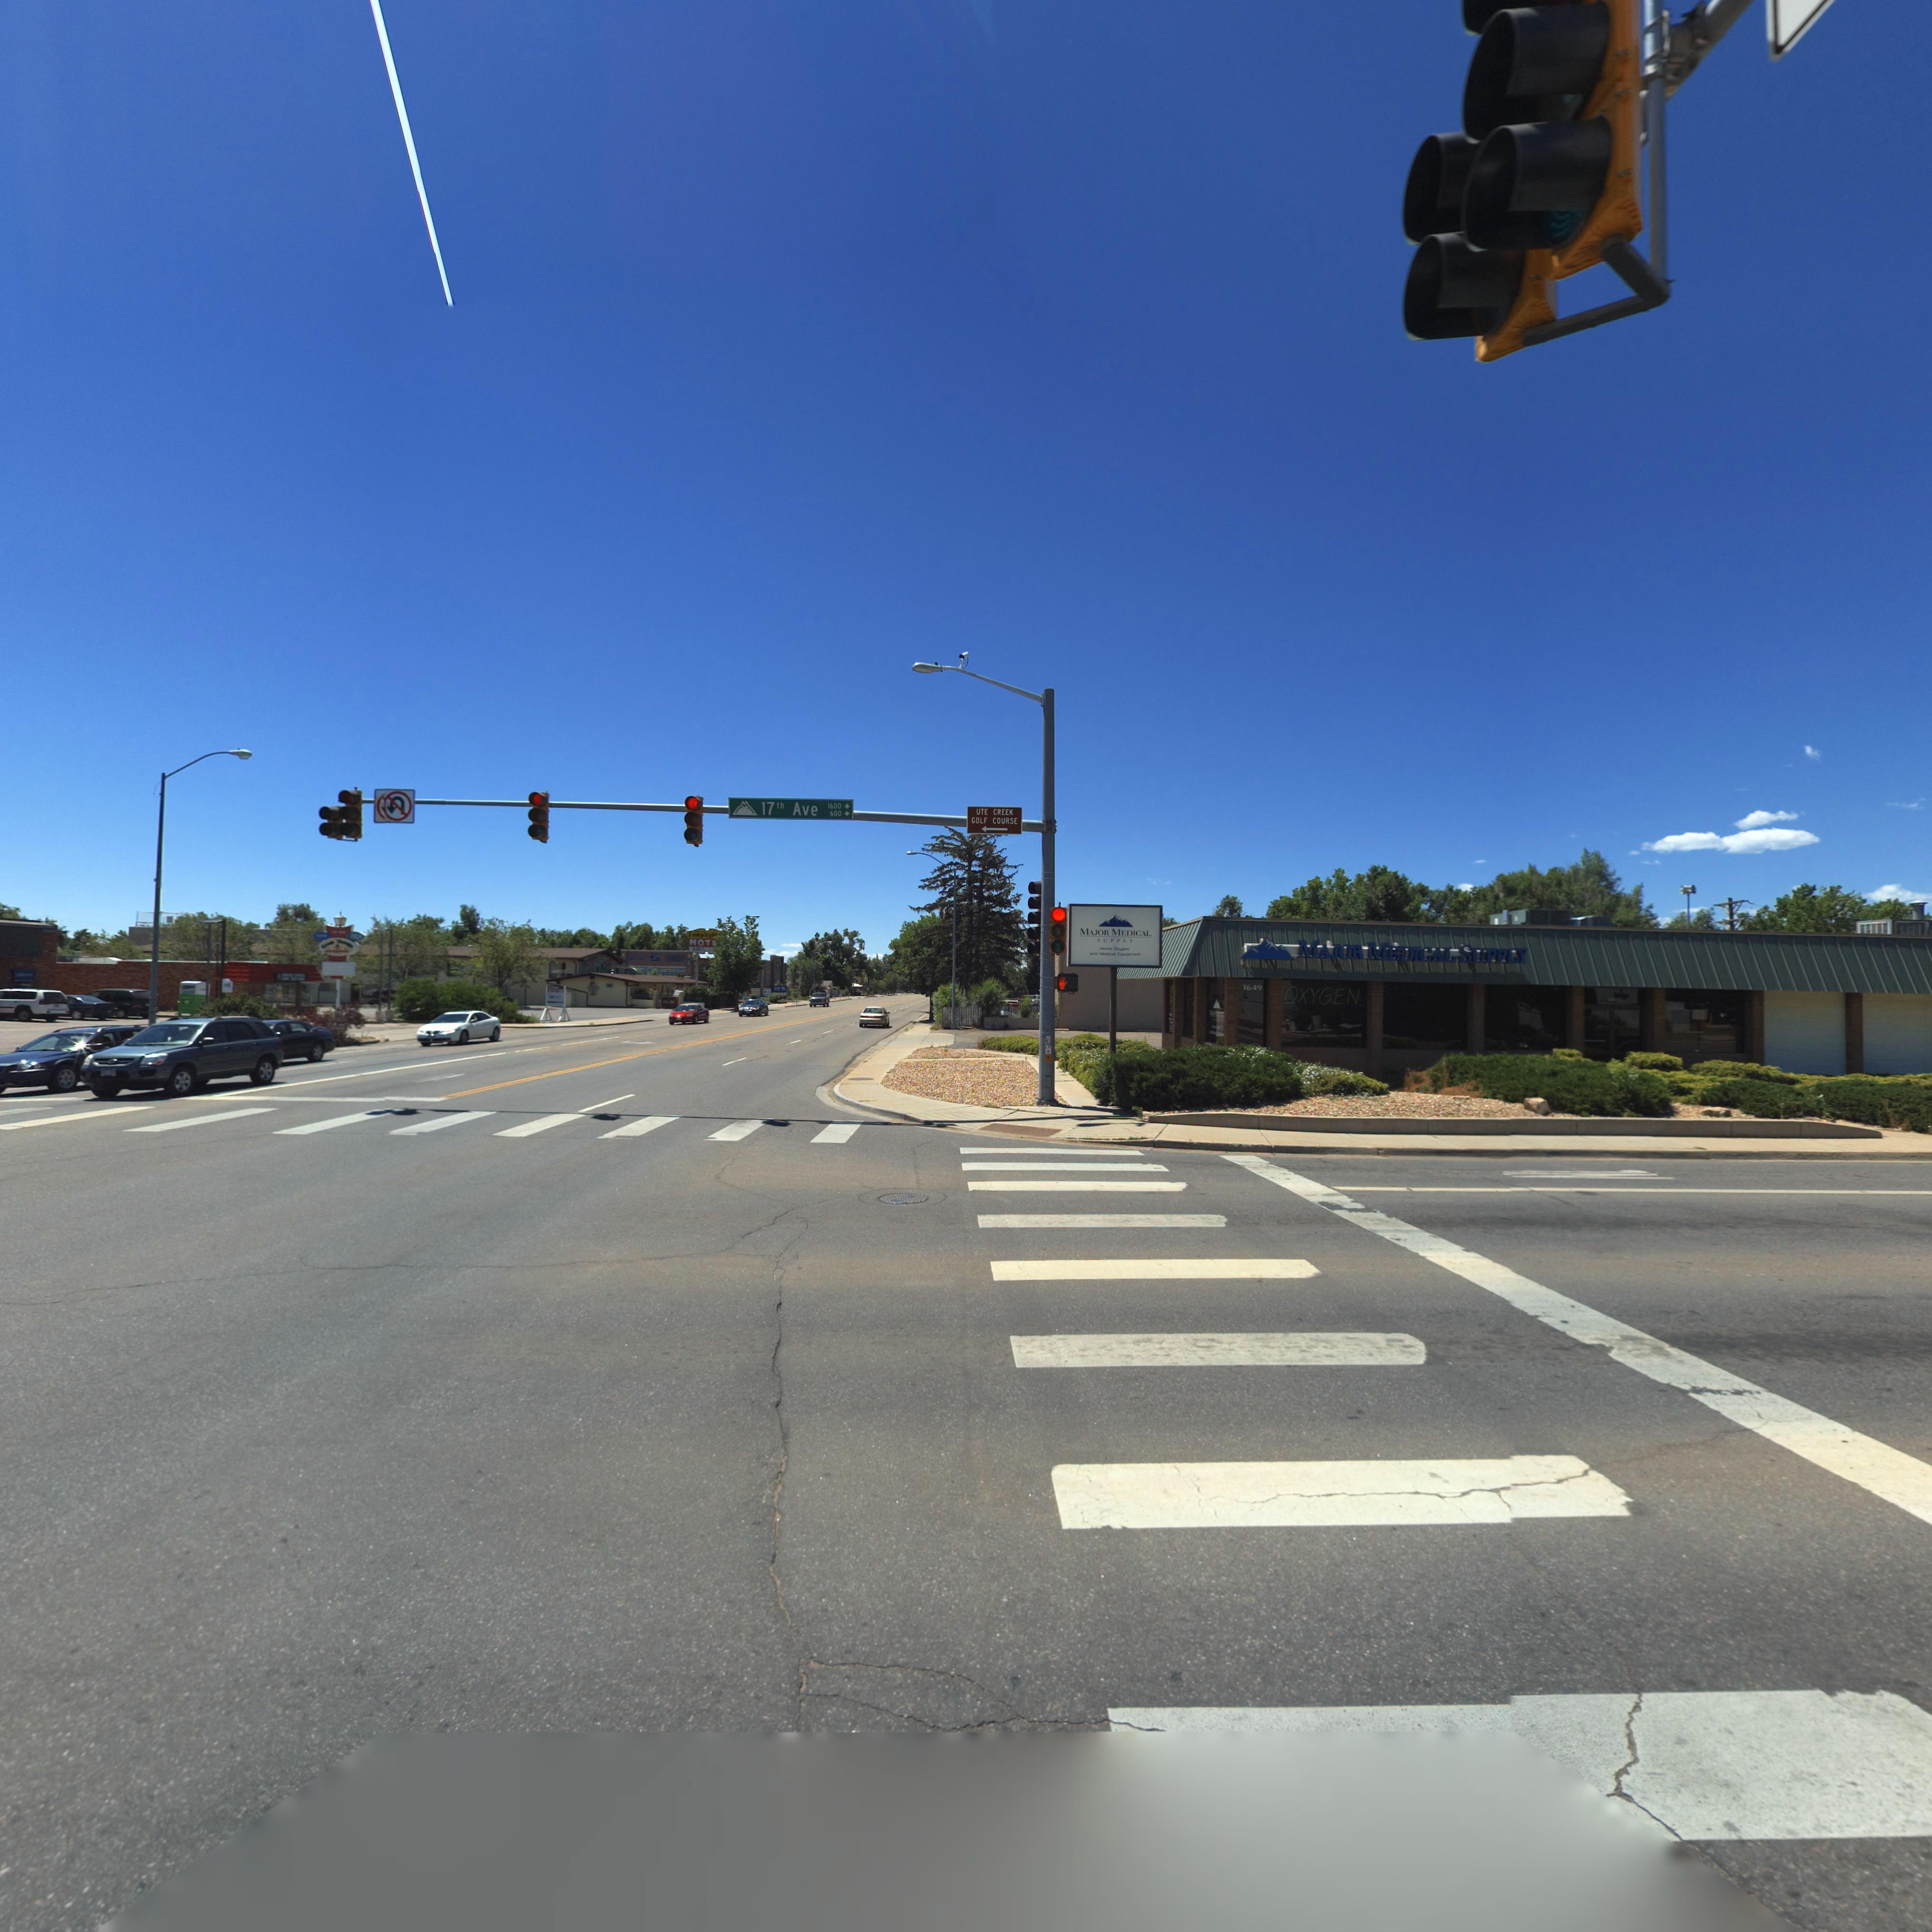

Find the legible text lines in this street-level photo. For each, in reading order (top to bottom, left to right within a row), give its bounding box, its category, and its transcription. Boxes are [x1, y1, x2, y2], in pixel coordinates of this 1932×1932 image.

[760, 800, 819, 816] StreetName: 17th Ave
[827, 802, 842, 809] StreetNumberRange: 1600
[829, 810, 850, 817] StreetNumberRange: 600->
[688, 931, 712, 938] BusinessName: Lamplig
[1079, 927, 1153, 937] BusinessName: MAJOR MEDICAL
[688, 938, 711, 946] BusinessName: MOT
[1096, 937, 1133, 943] BusinessName: SUPPLY
[1295, 938, 1529, 965] BusinessName: MAJOR MEDICAL SUPPLY
[649, 954, 660, 962] BusinessName: 5
[1242, 984, 1263, 991] StreetNumber: 1649